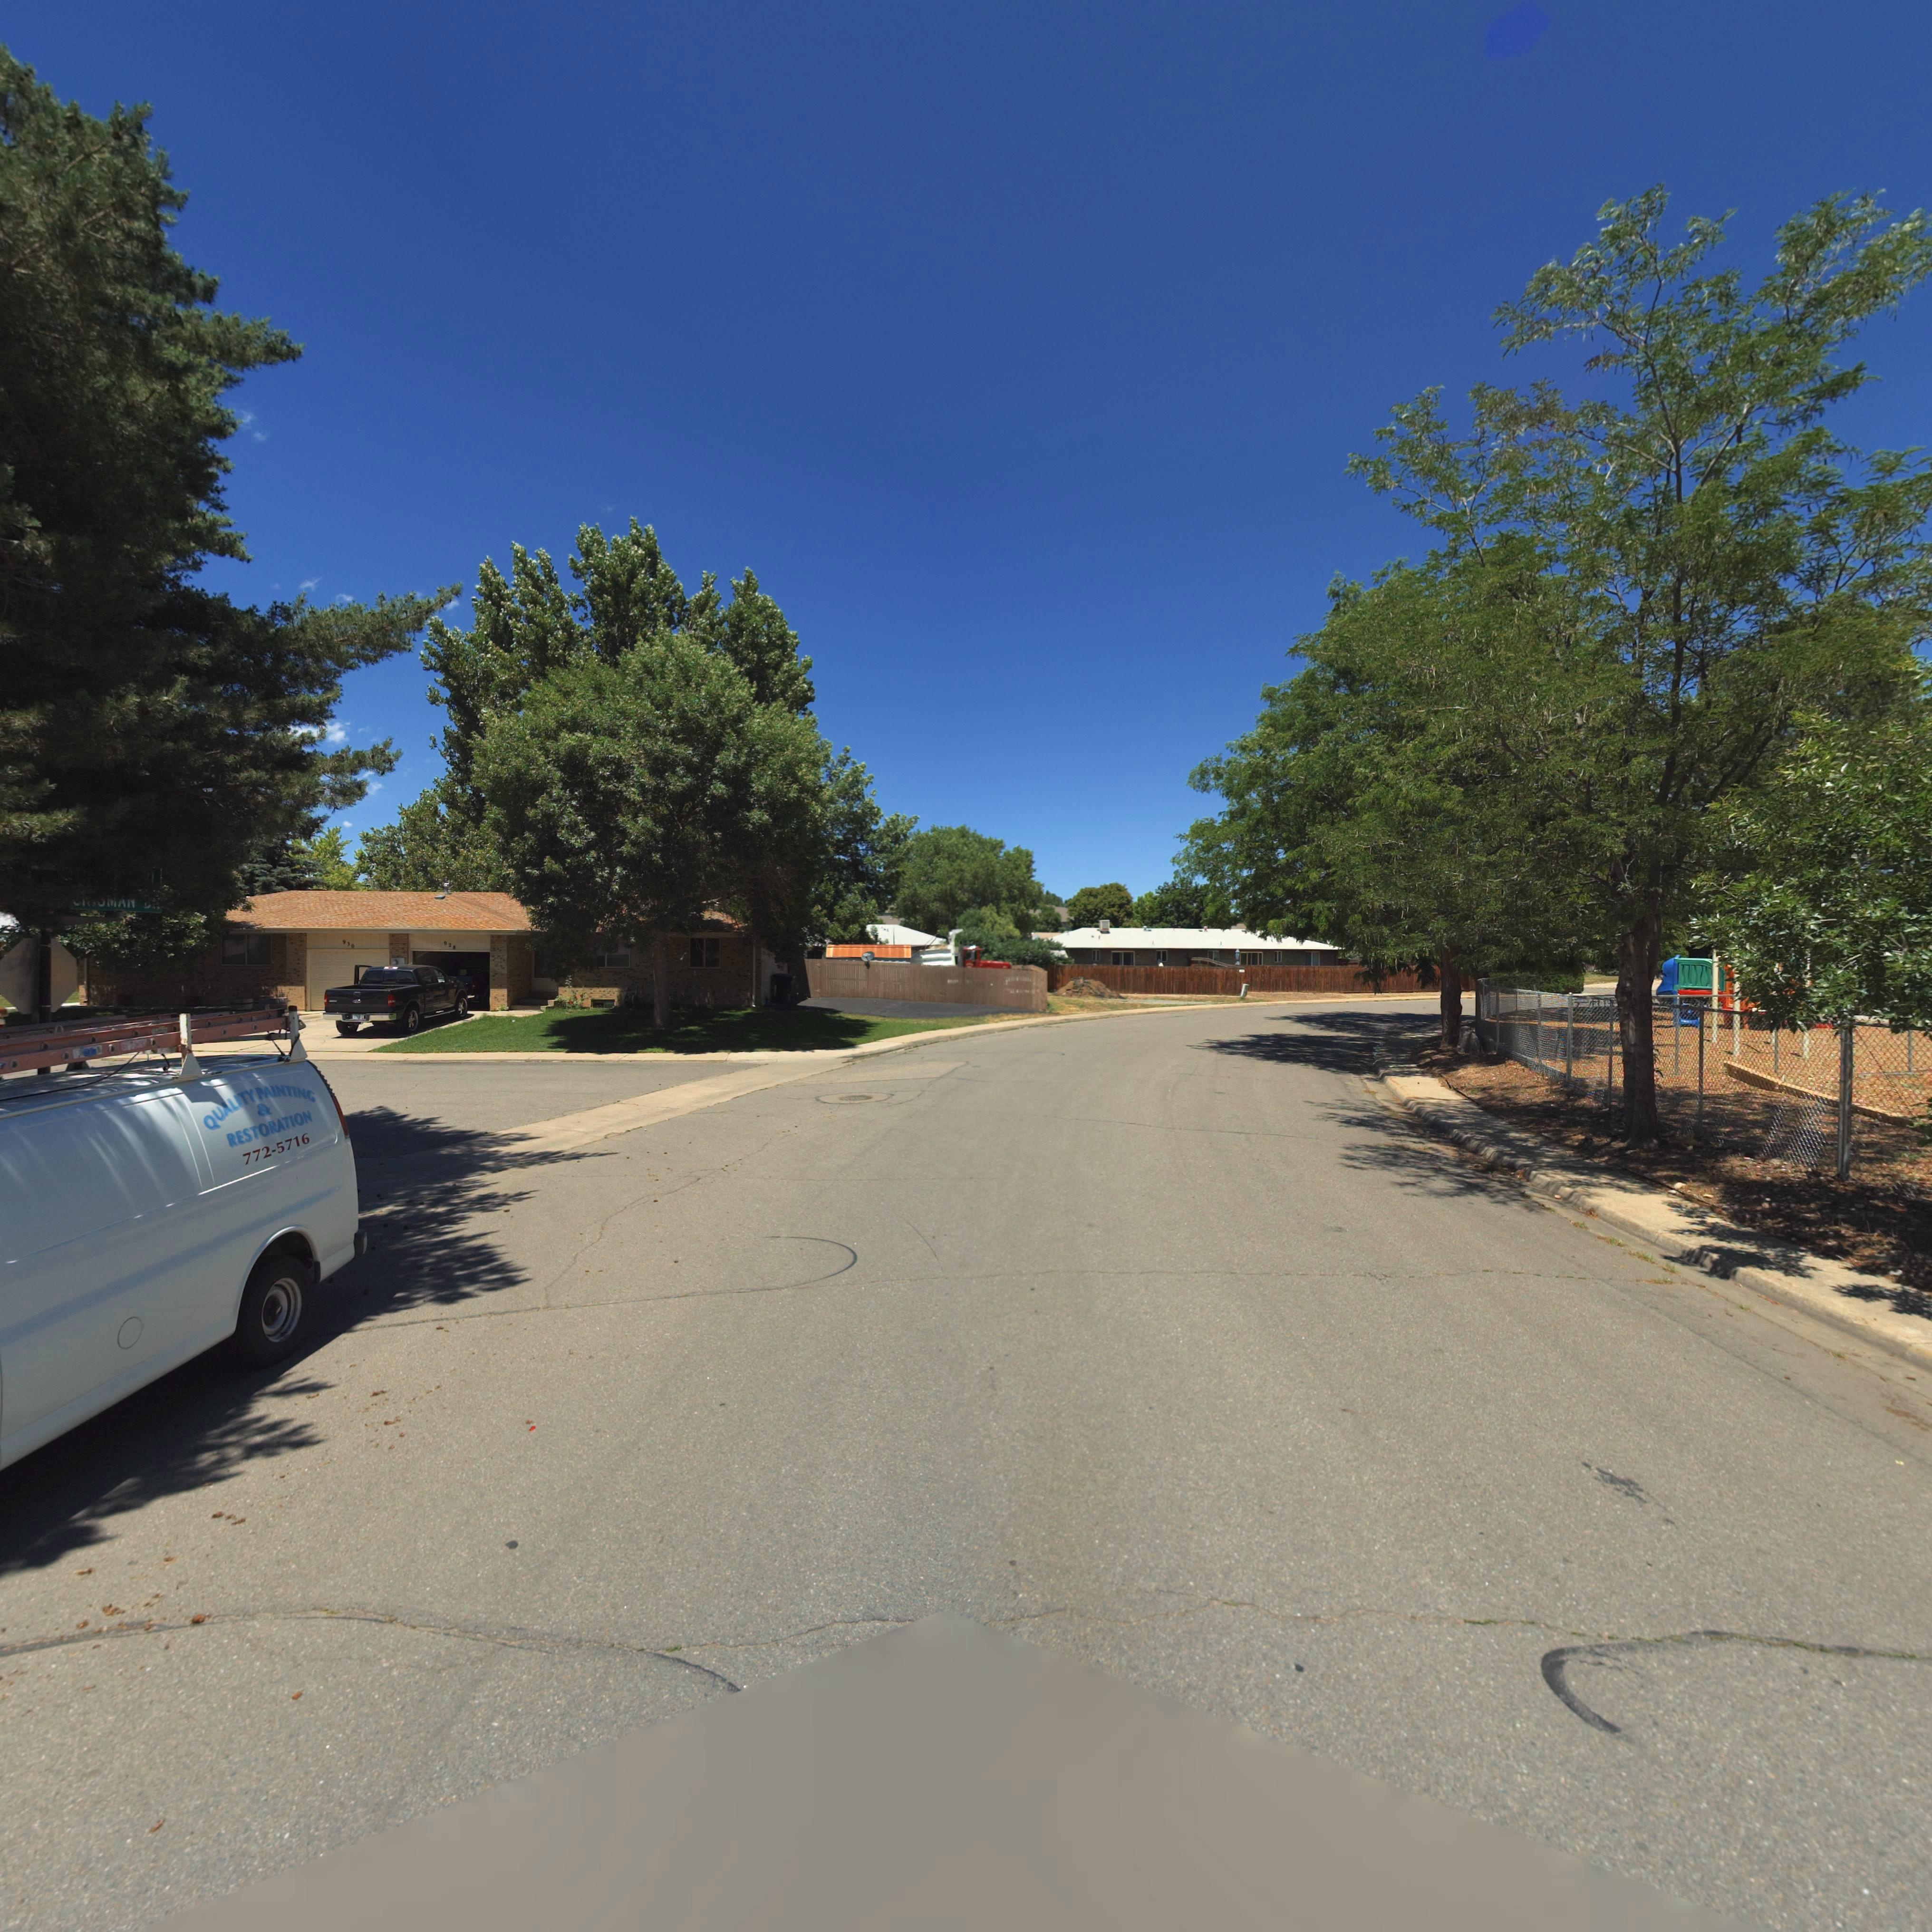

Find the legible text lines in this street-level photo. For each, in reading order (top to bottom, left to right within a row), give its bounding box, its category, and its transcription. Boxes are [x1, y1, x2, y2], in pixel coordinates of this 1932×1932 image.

[342, 938, 355, 949] StreetNumber: 930
[444, 941, 456, 950] StreetNumber: 928